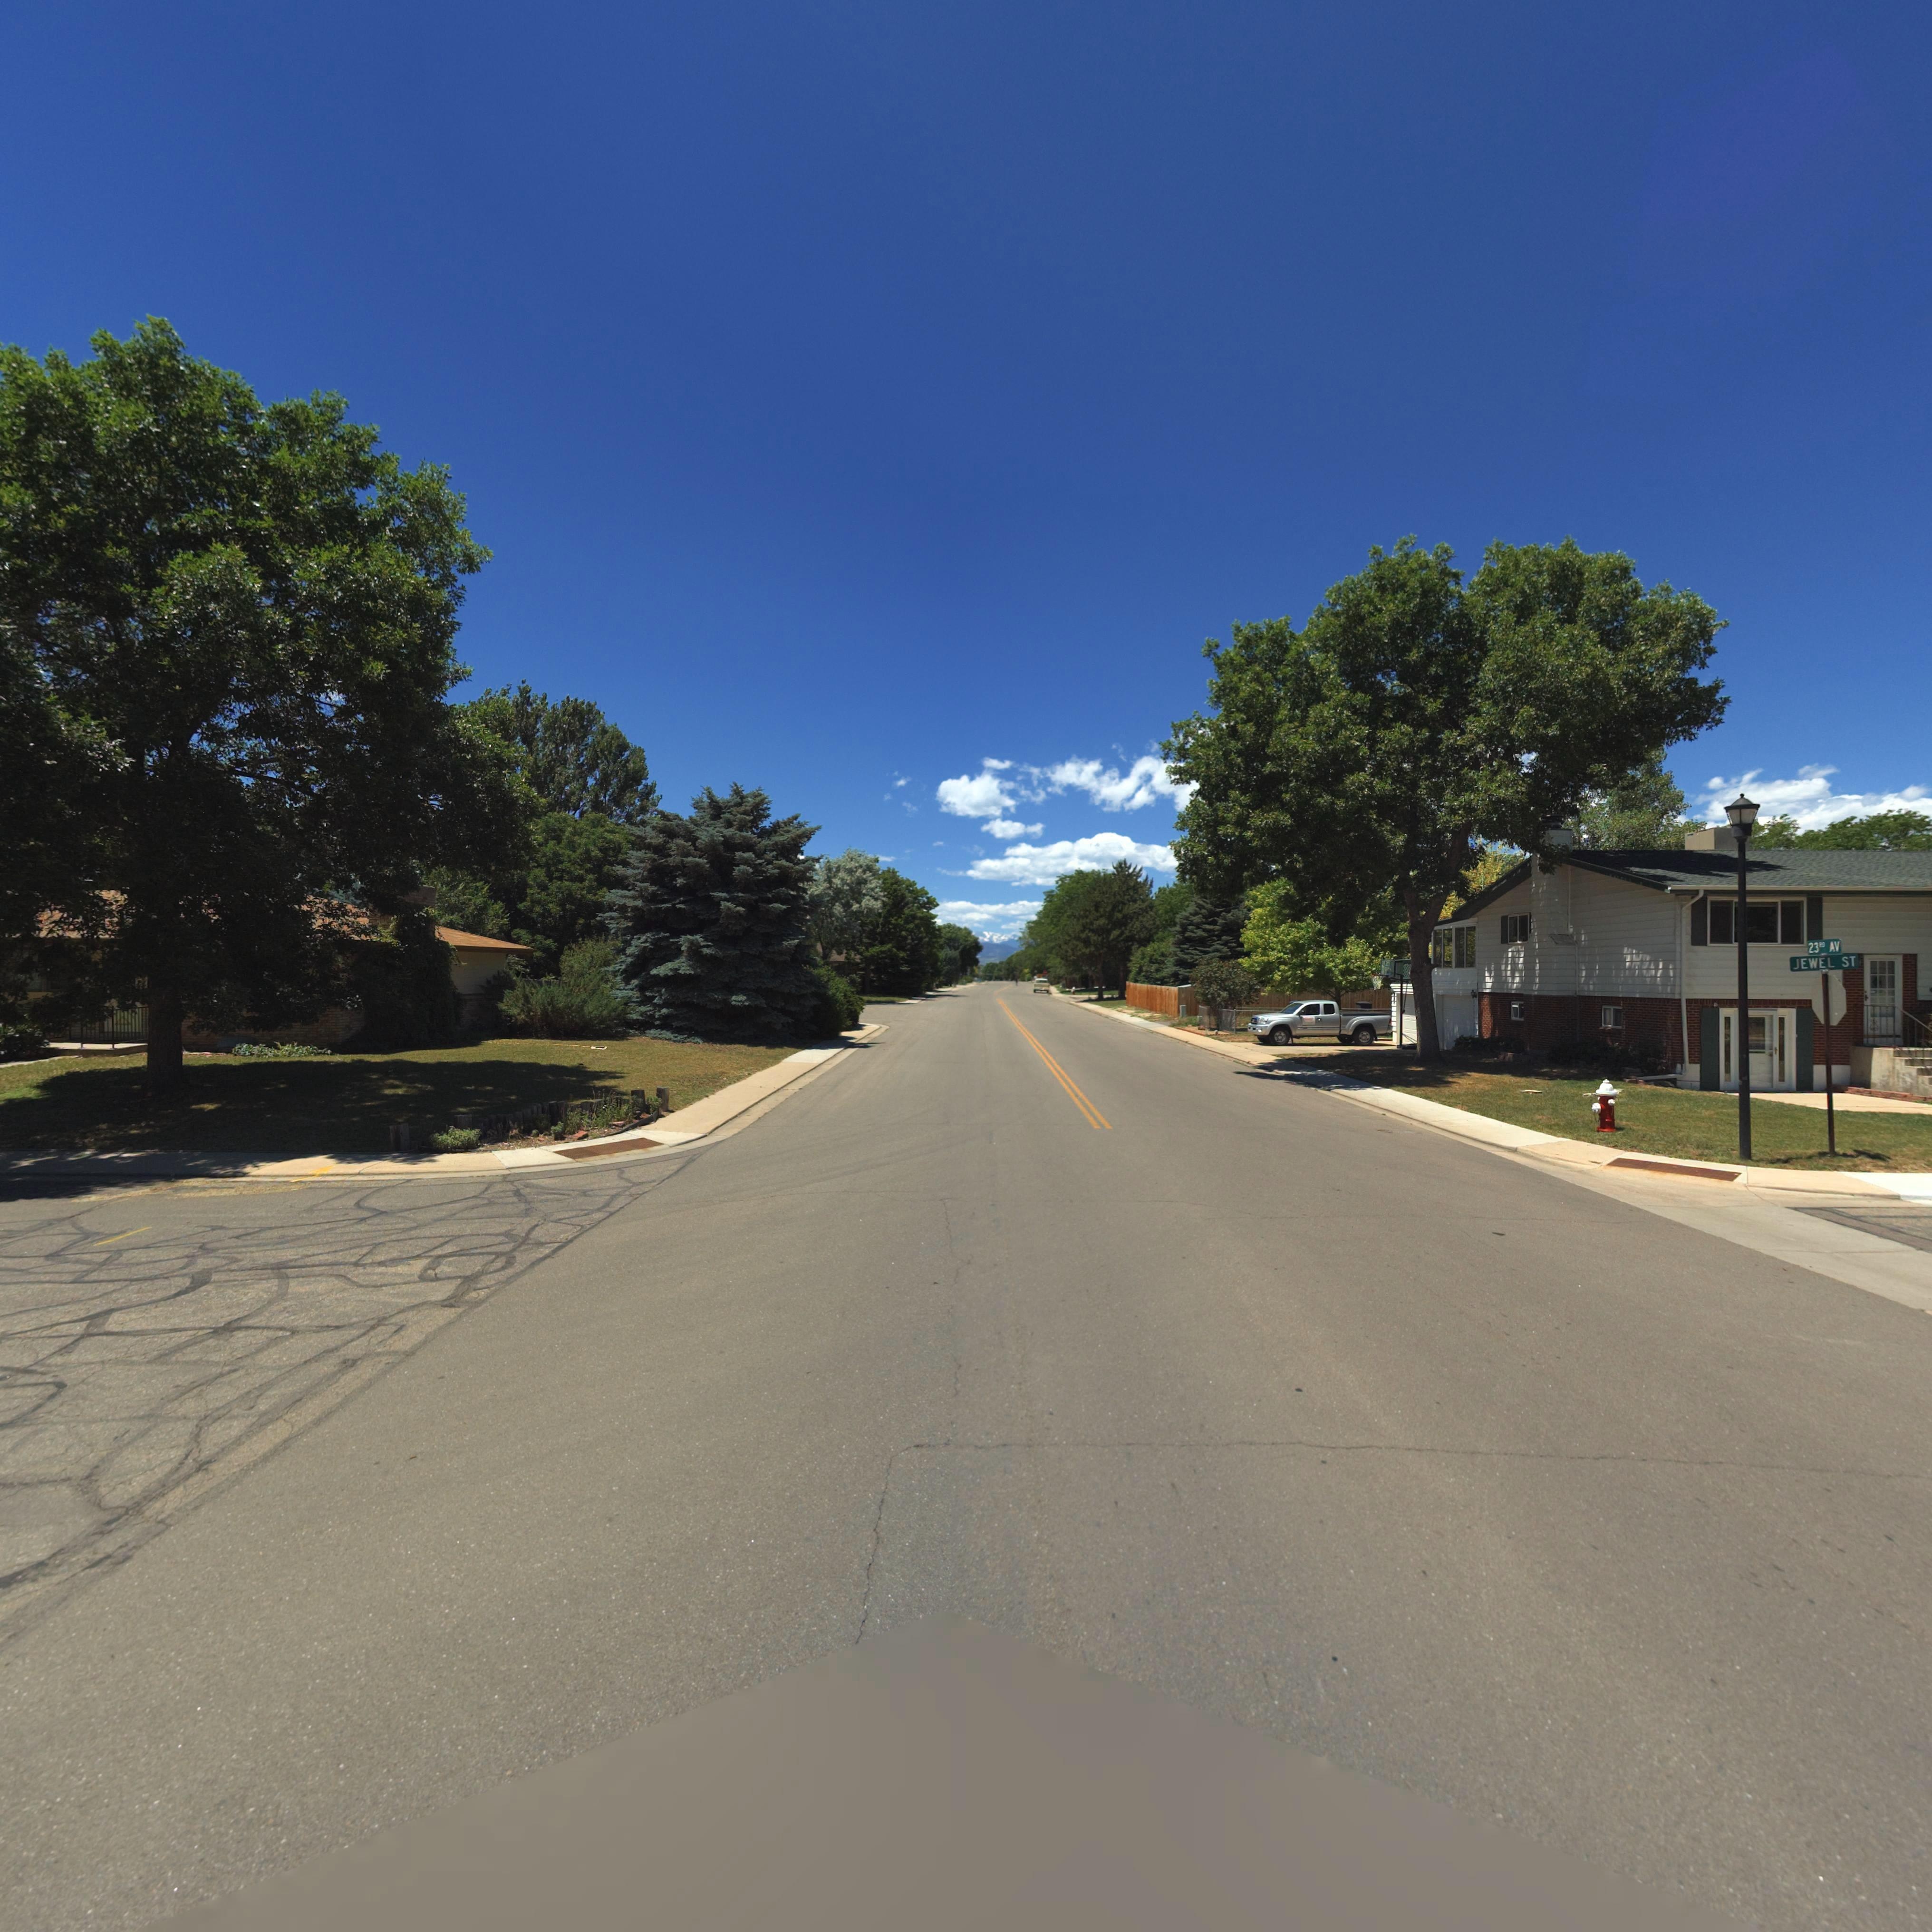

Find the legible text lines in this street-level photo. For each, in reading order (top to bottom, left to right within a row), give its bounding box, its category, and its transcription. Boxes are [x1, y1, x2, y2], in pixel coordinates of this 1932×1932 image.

[1806, 940, 1841, 954] StreetName: 23RD AV
[1792, 955, 1856, 970] StreetName: JEWEL ST